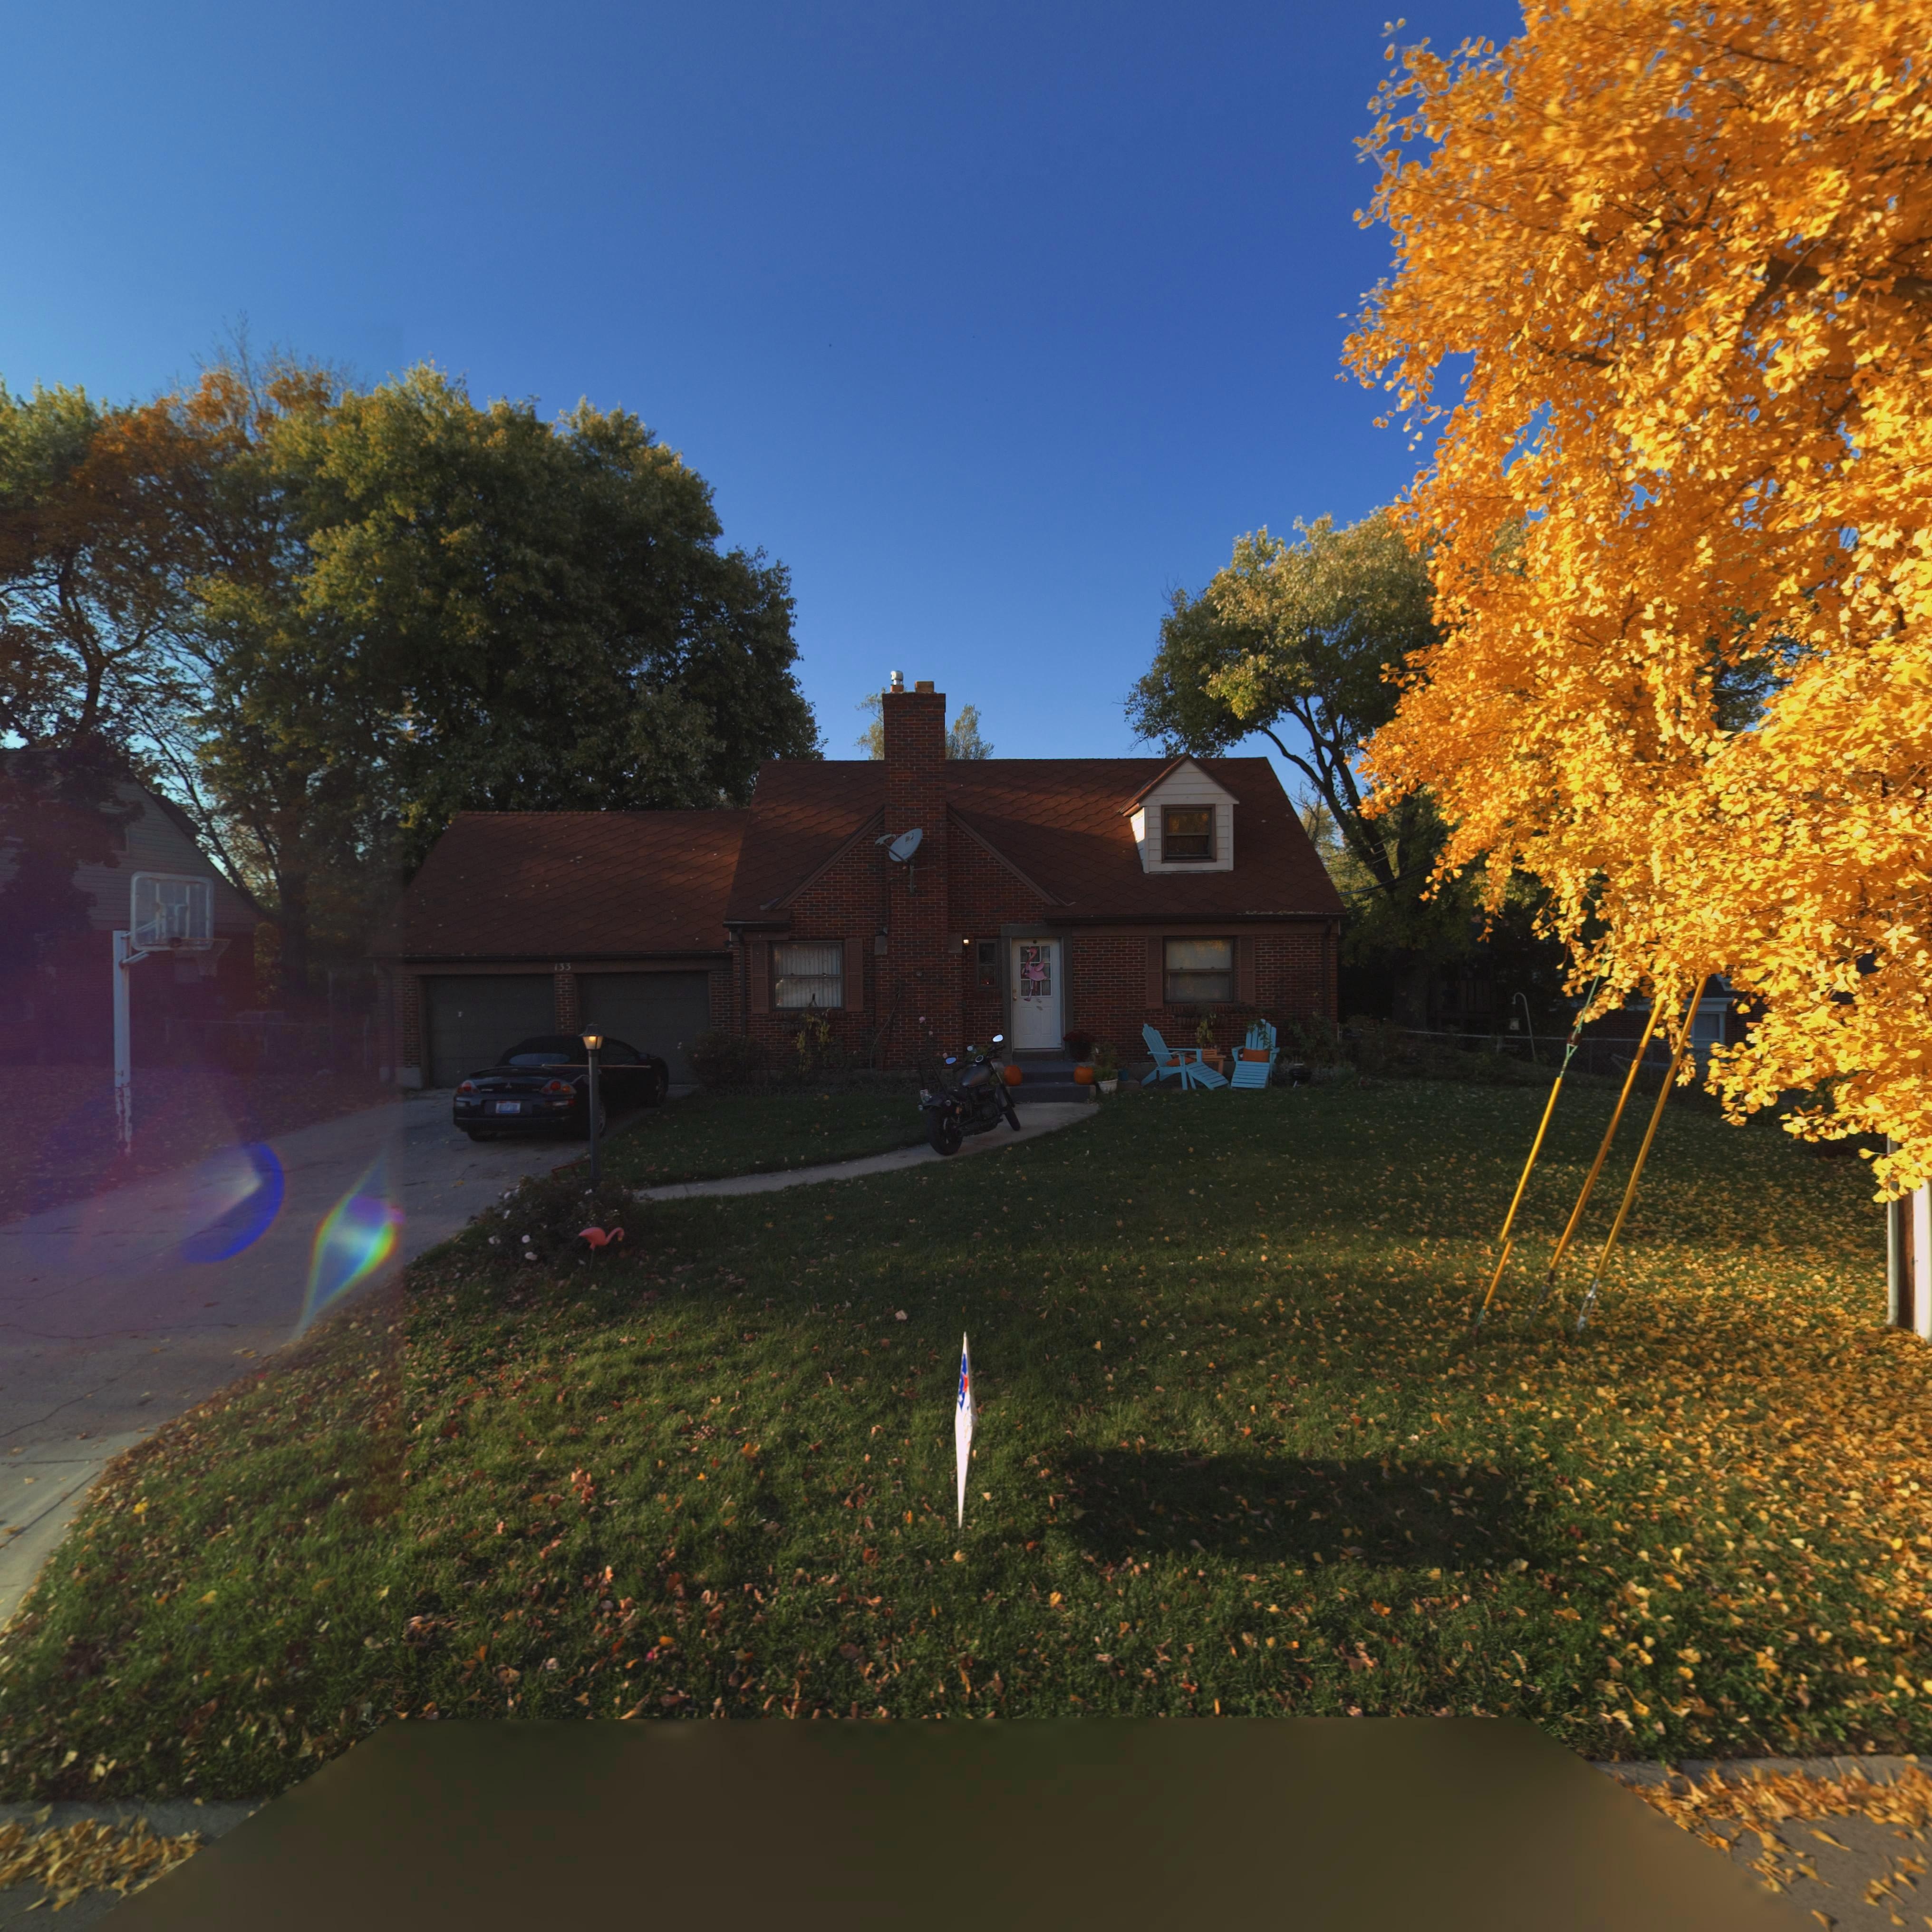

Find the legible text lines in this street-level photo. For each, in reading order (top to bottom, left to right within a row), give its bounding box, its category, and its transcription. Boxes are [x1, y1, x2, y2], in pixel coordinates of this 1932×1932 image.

[554, 962, 572, 971] StreetNumber: 133